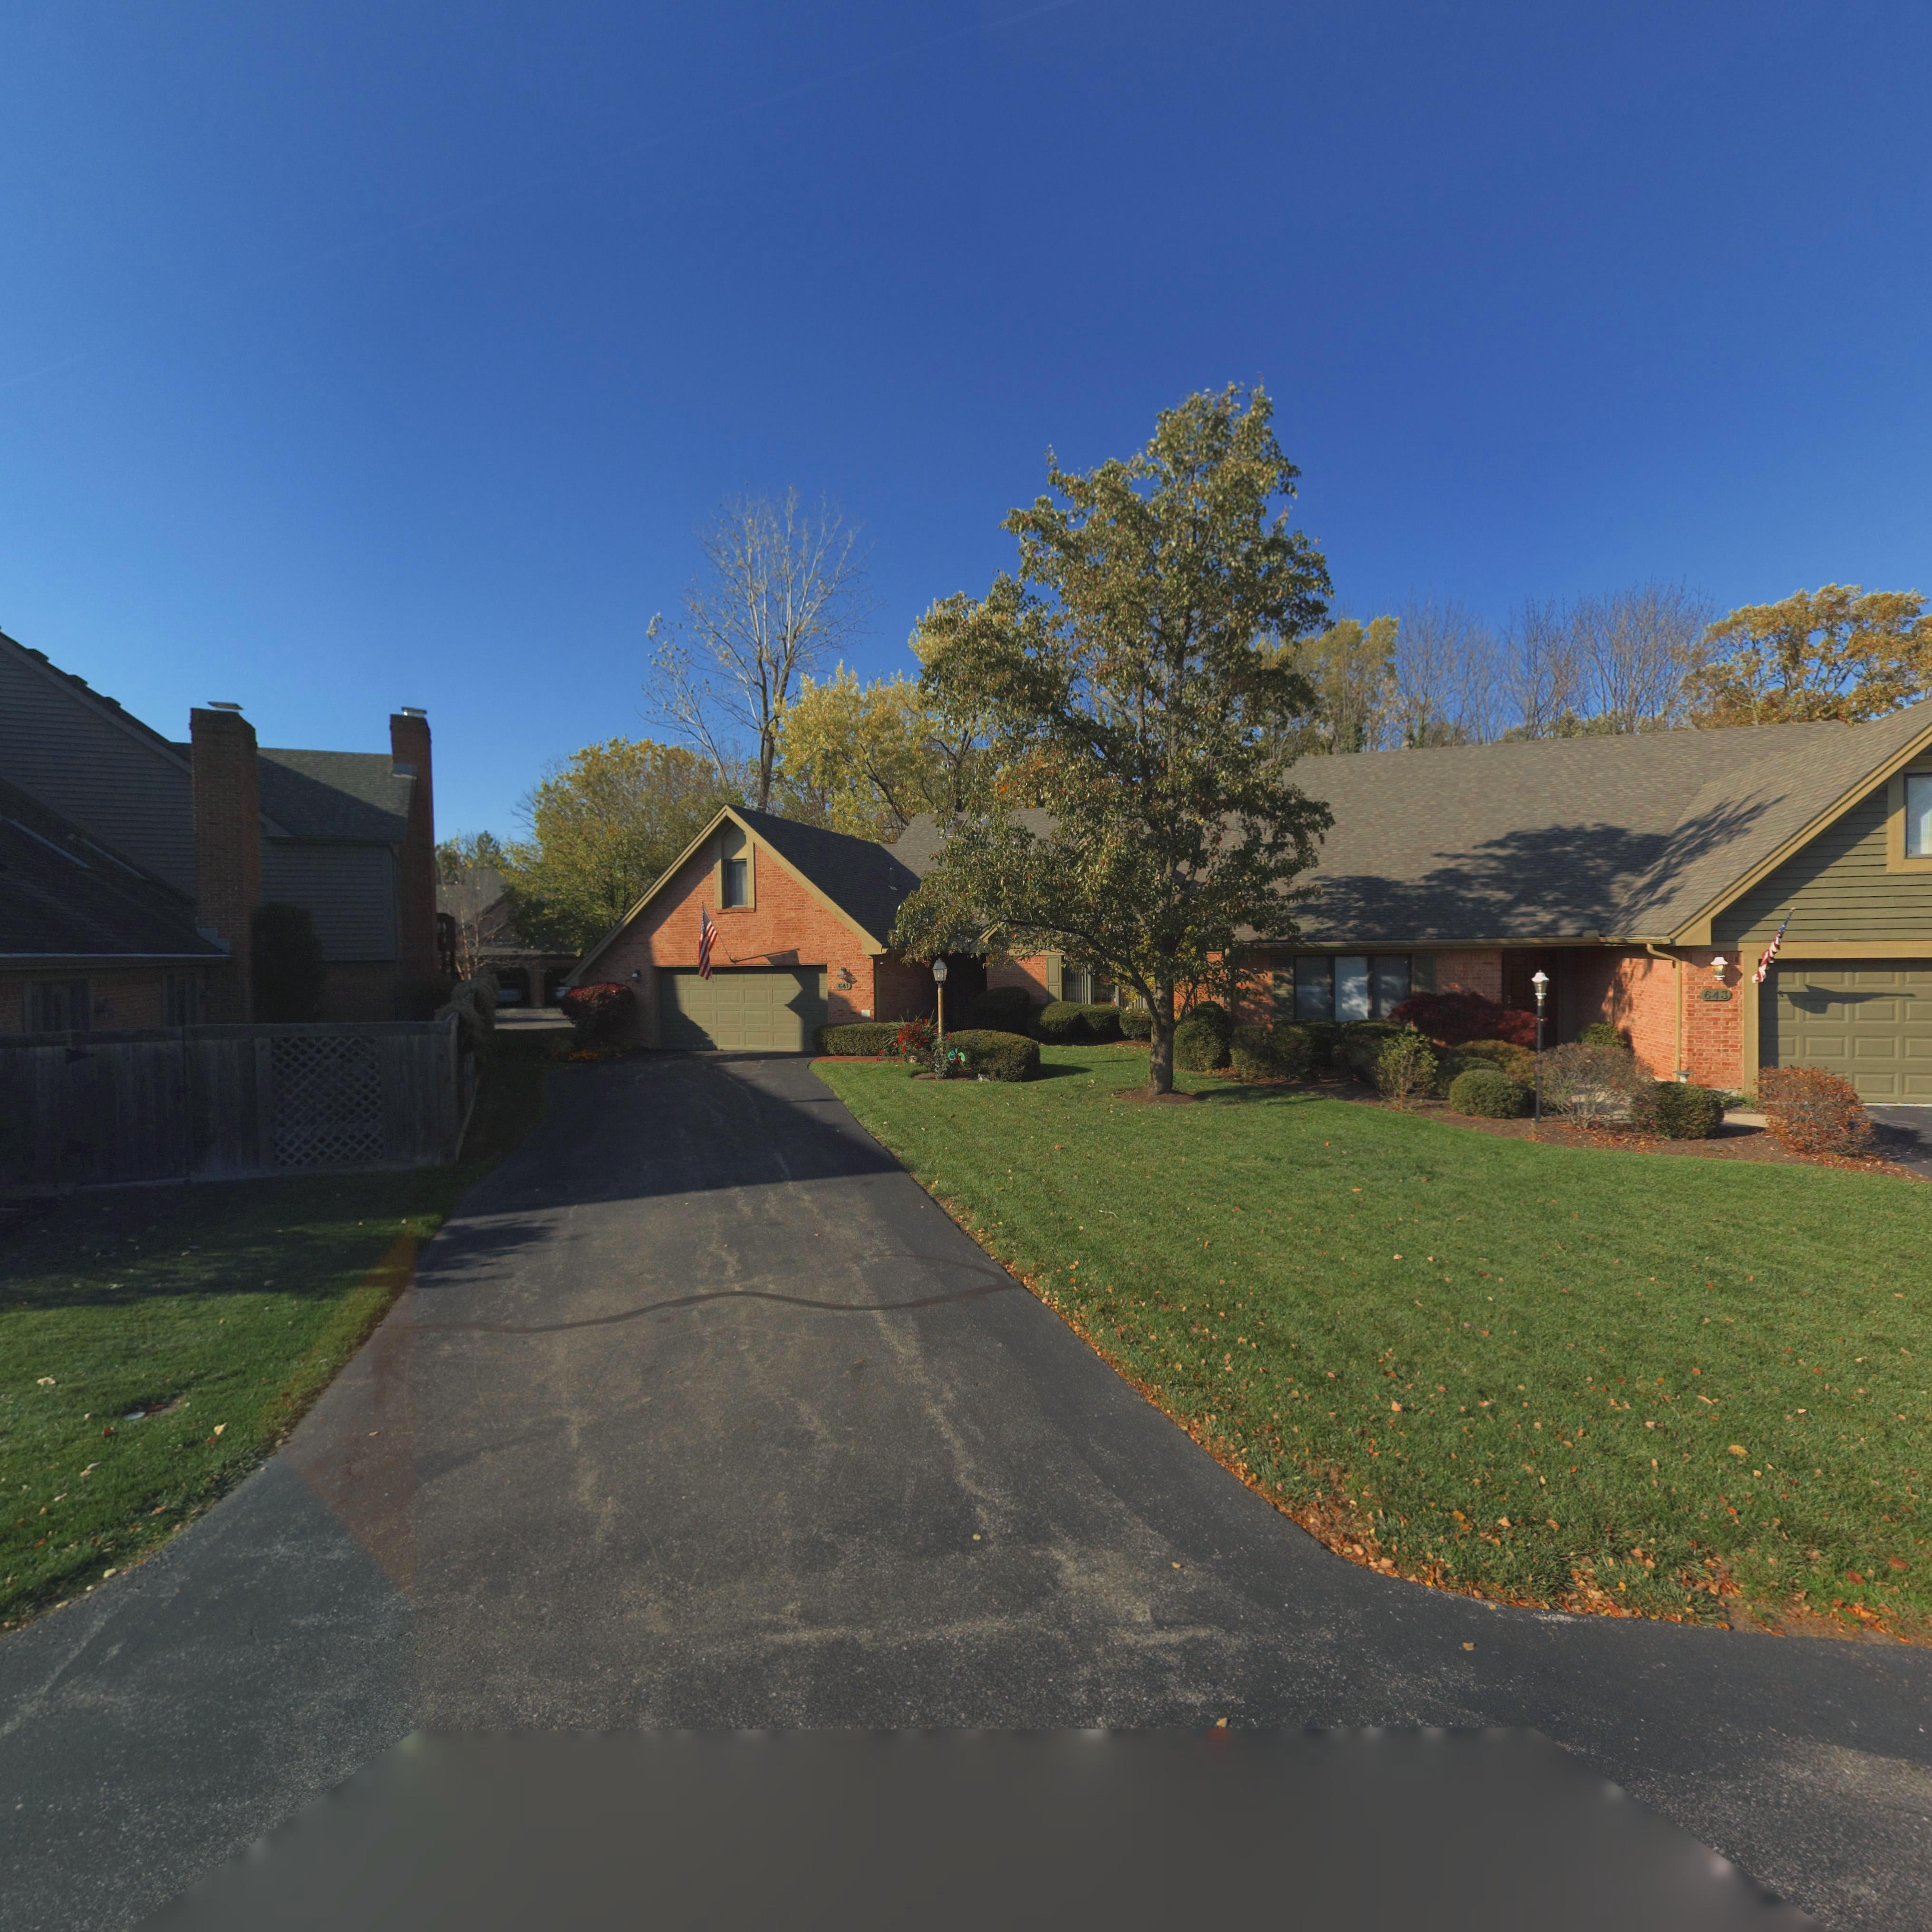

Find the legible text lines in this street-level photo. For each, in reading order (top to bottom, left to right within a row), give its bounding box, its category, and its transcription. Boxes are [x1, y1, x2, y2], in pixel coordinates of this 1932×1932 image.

[837, 983, 850, 990] StreetNumber: 641
[1702, 989, 1729, 1001] StreetNumber: 643